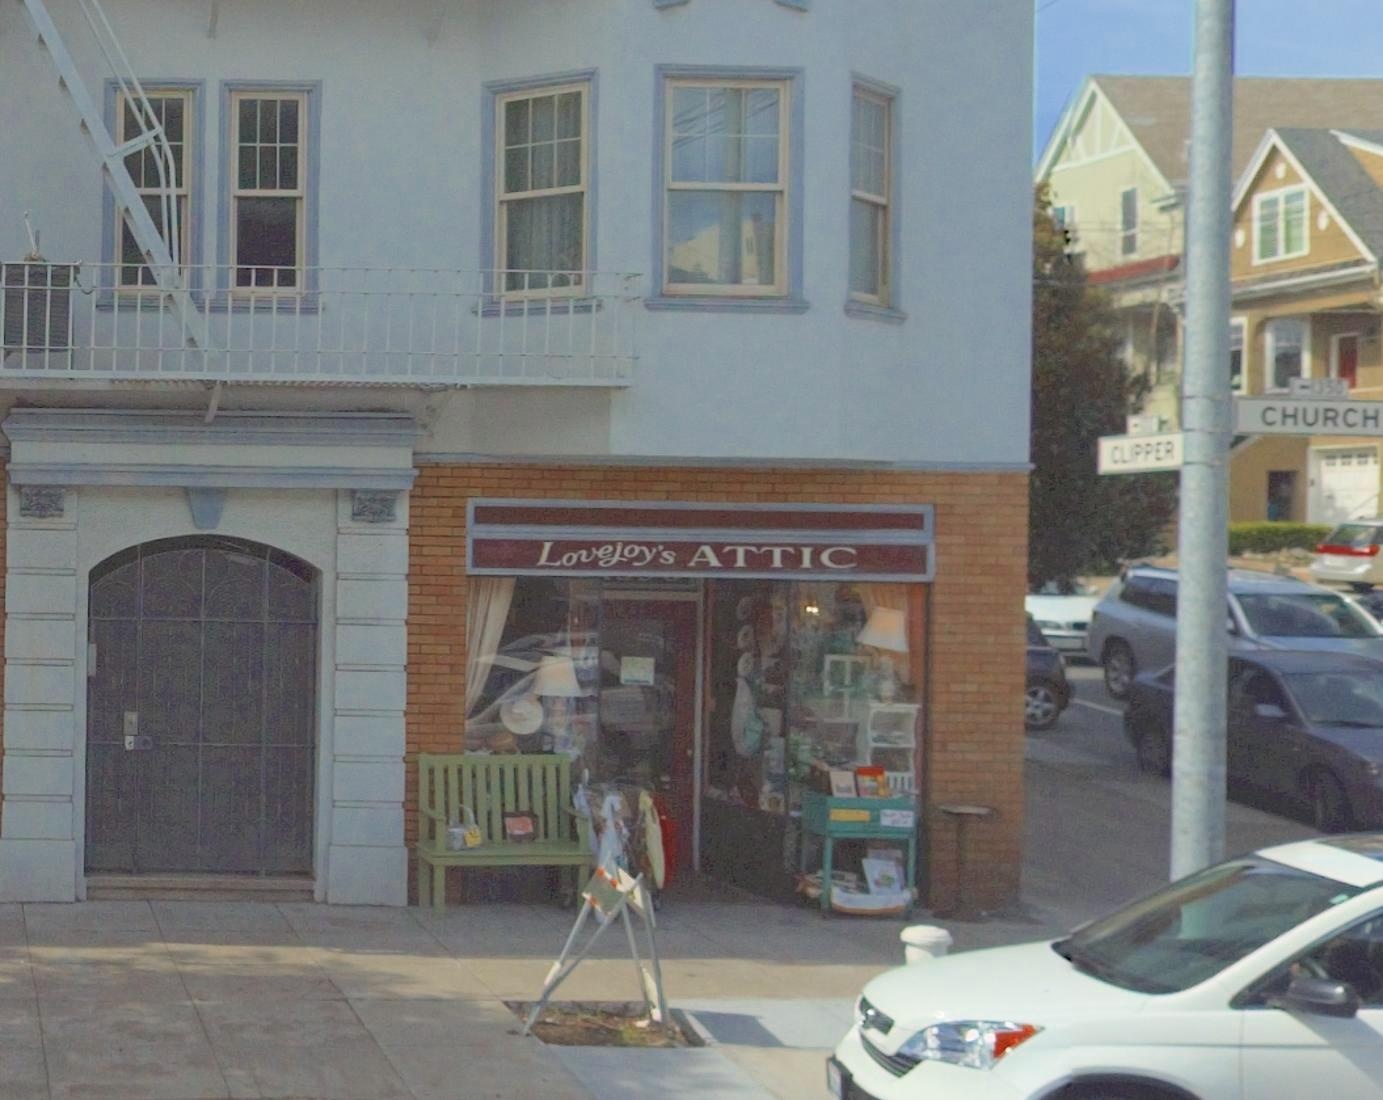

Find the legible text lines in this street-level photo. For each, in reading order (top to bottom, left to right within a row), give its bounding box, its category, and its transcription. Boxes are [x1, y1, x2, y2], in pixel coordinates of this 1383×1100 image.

[1299, 379, 1347, 396] StreetNumberRange: <-1350
[1261, 405, 1380, 429] StreetName: CHURCH
[1110, 439, 1173, 467] StreetName: CLIPPER
[536, 539, 860, 569] BusinessName: Lovejoy's ATTIC